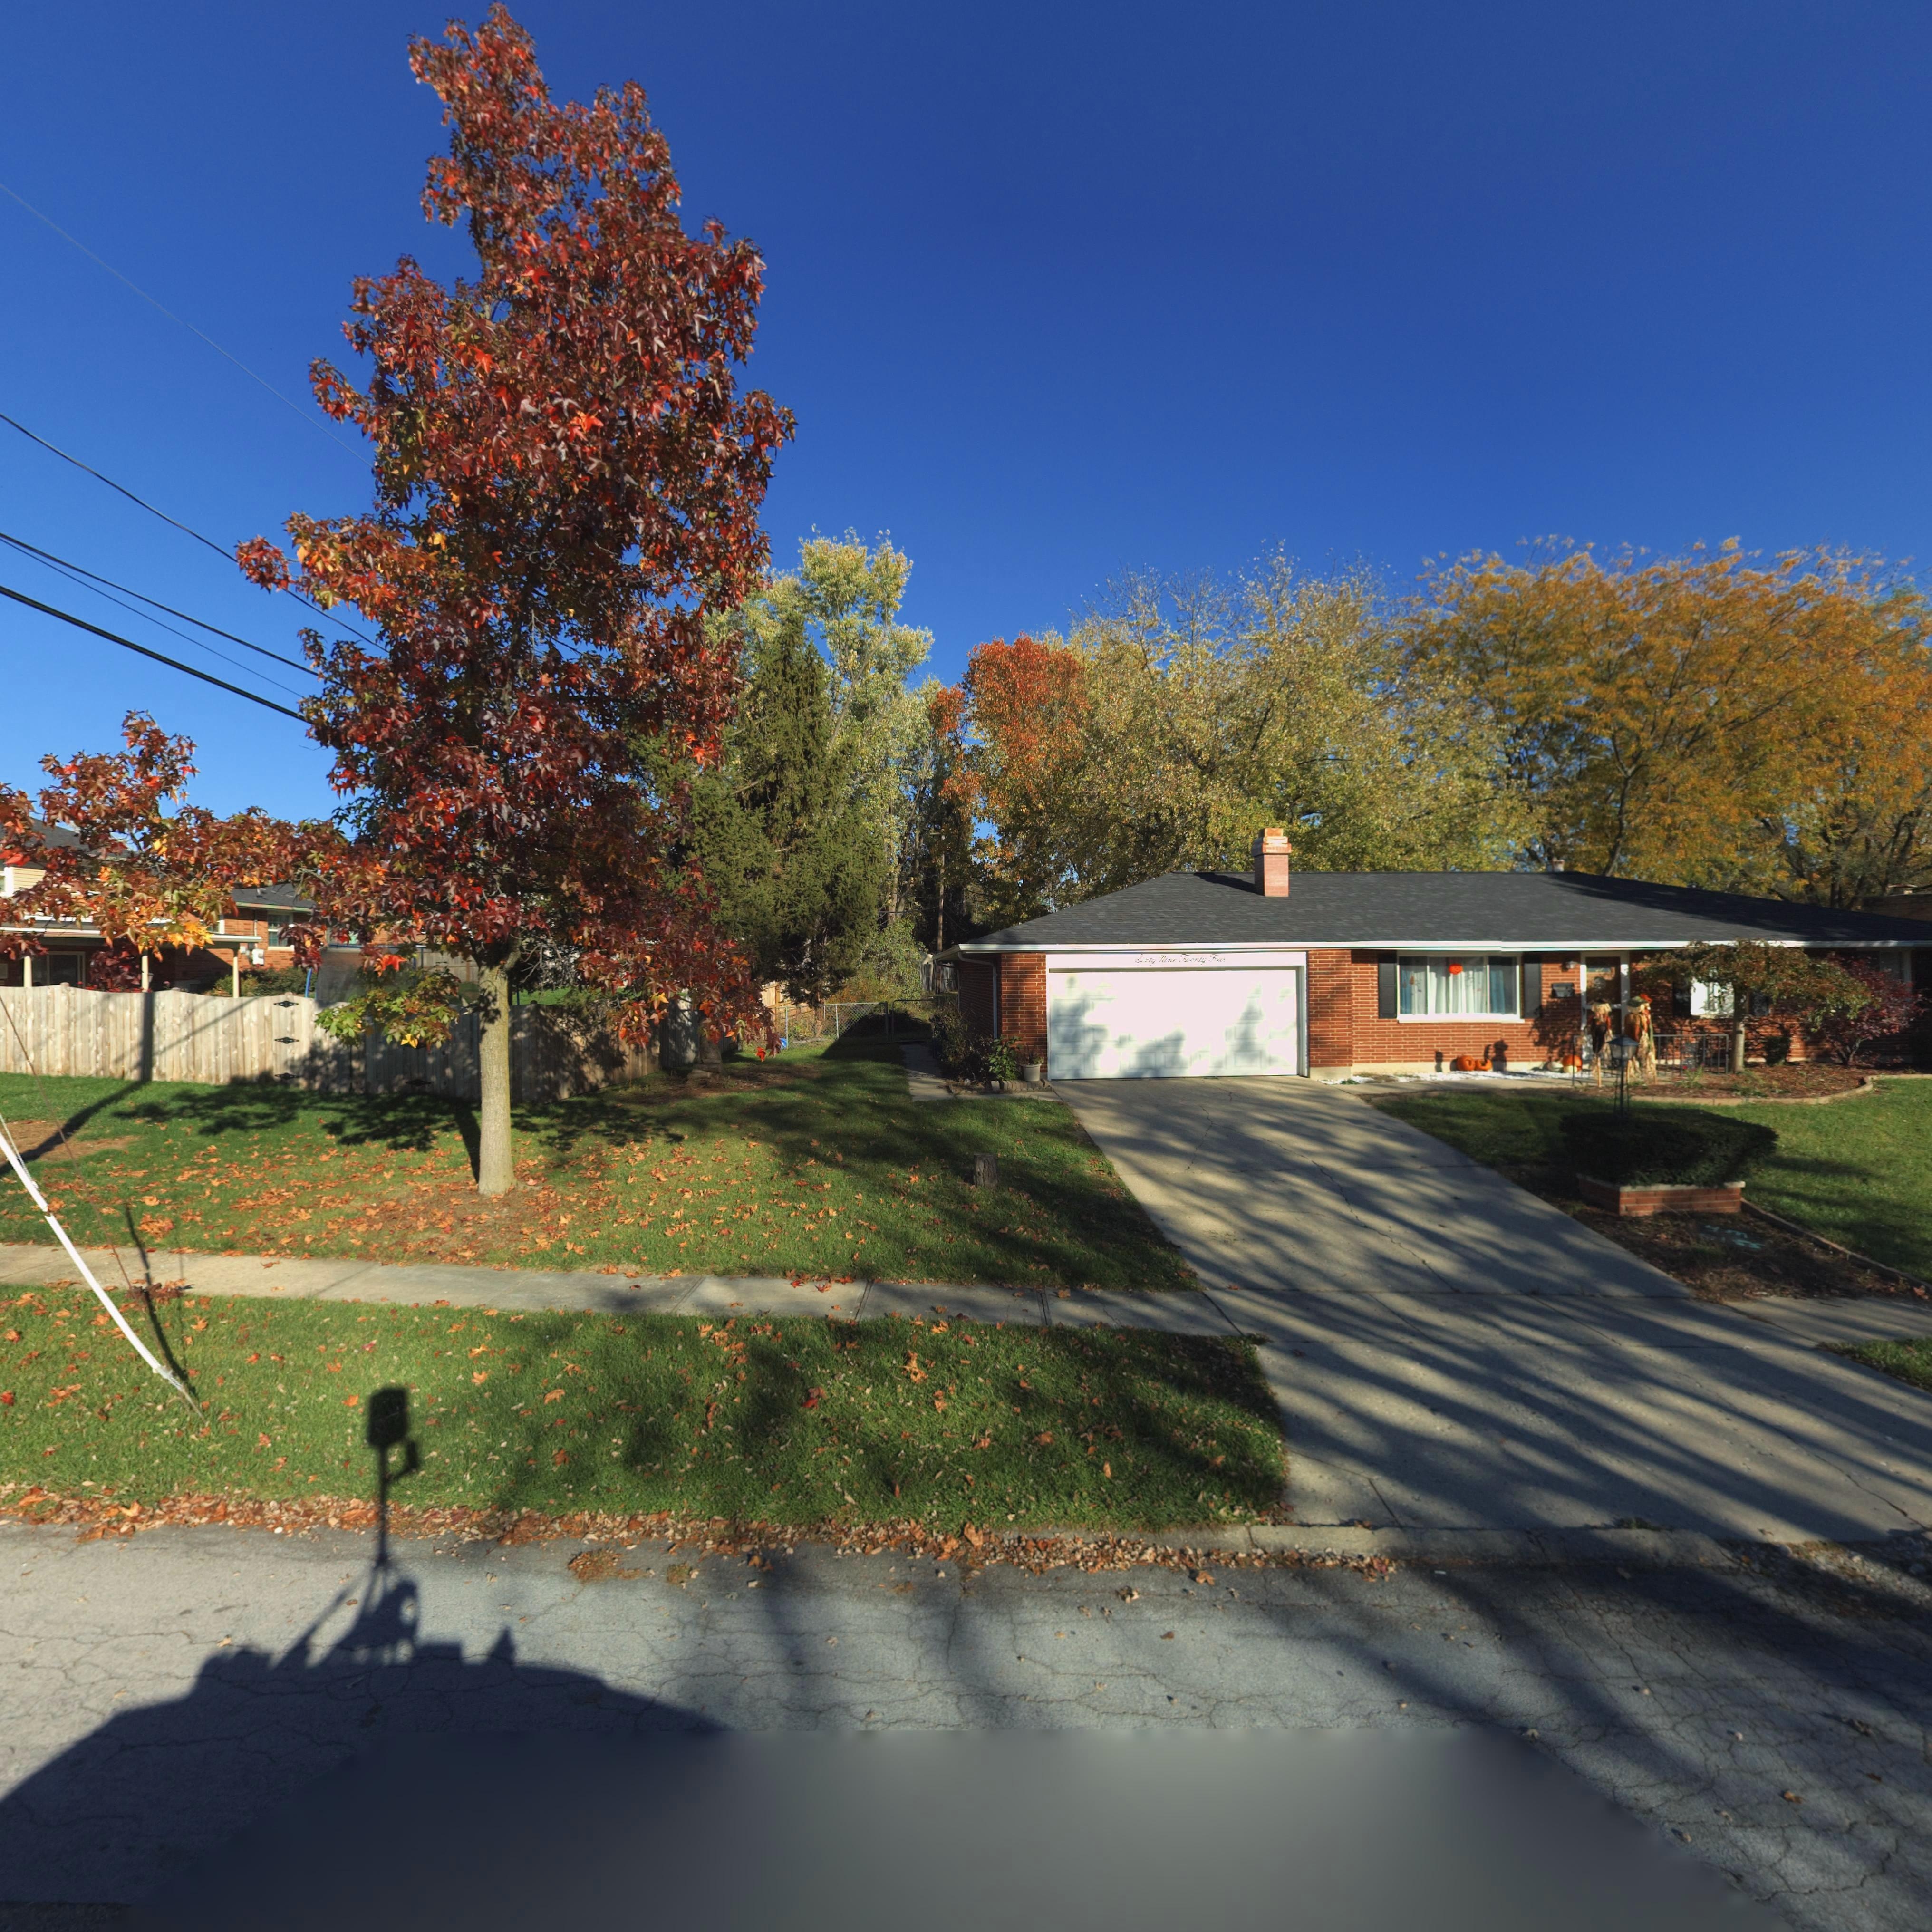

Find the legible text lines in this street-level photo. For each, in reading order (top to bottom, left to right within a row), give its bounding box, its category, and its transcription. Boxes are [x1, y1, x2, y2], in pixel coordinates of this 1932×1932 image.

[1134, 953, 1226, 966] StreetNumber: Sixty Nine Twenty Four